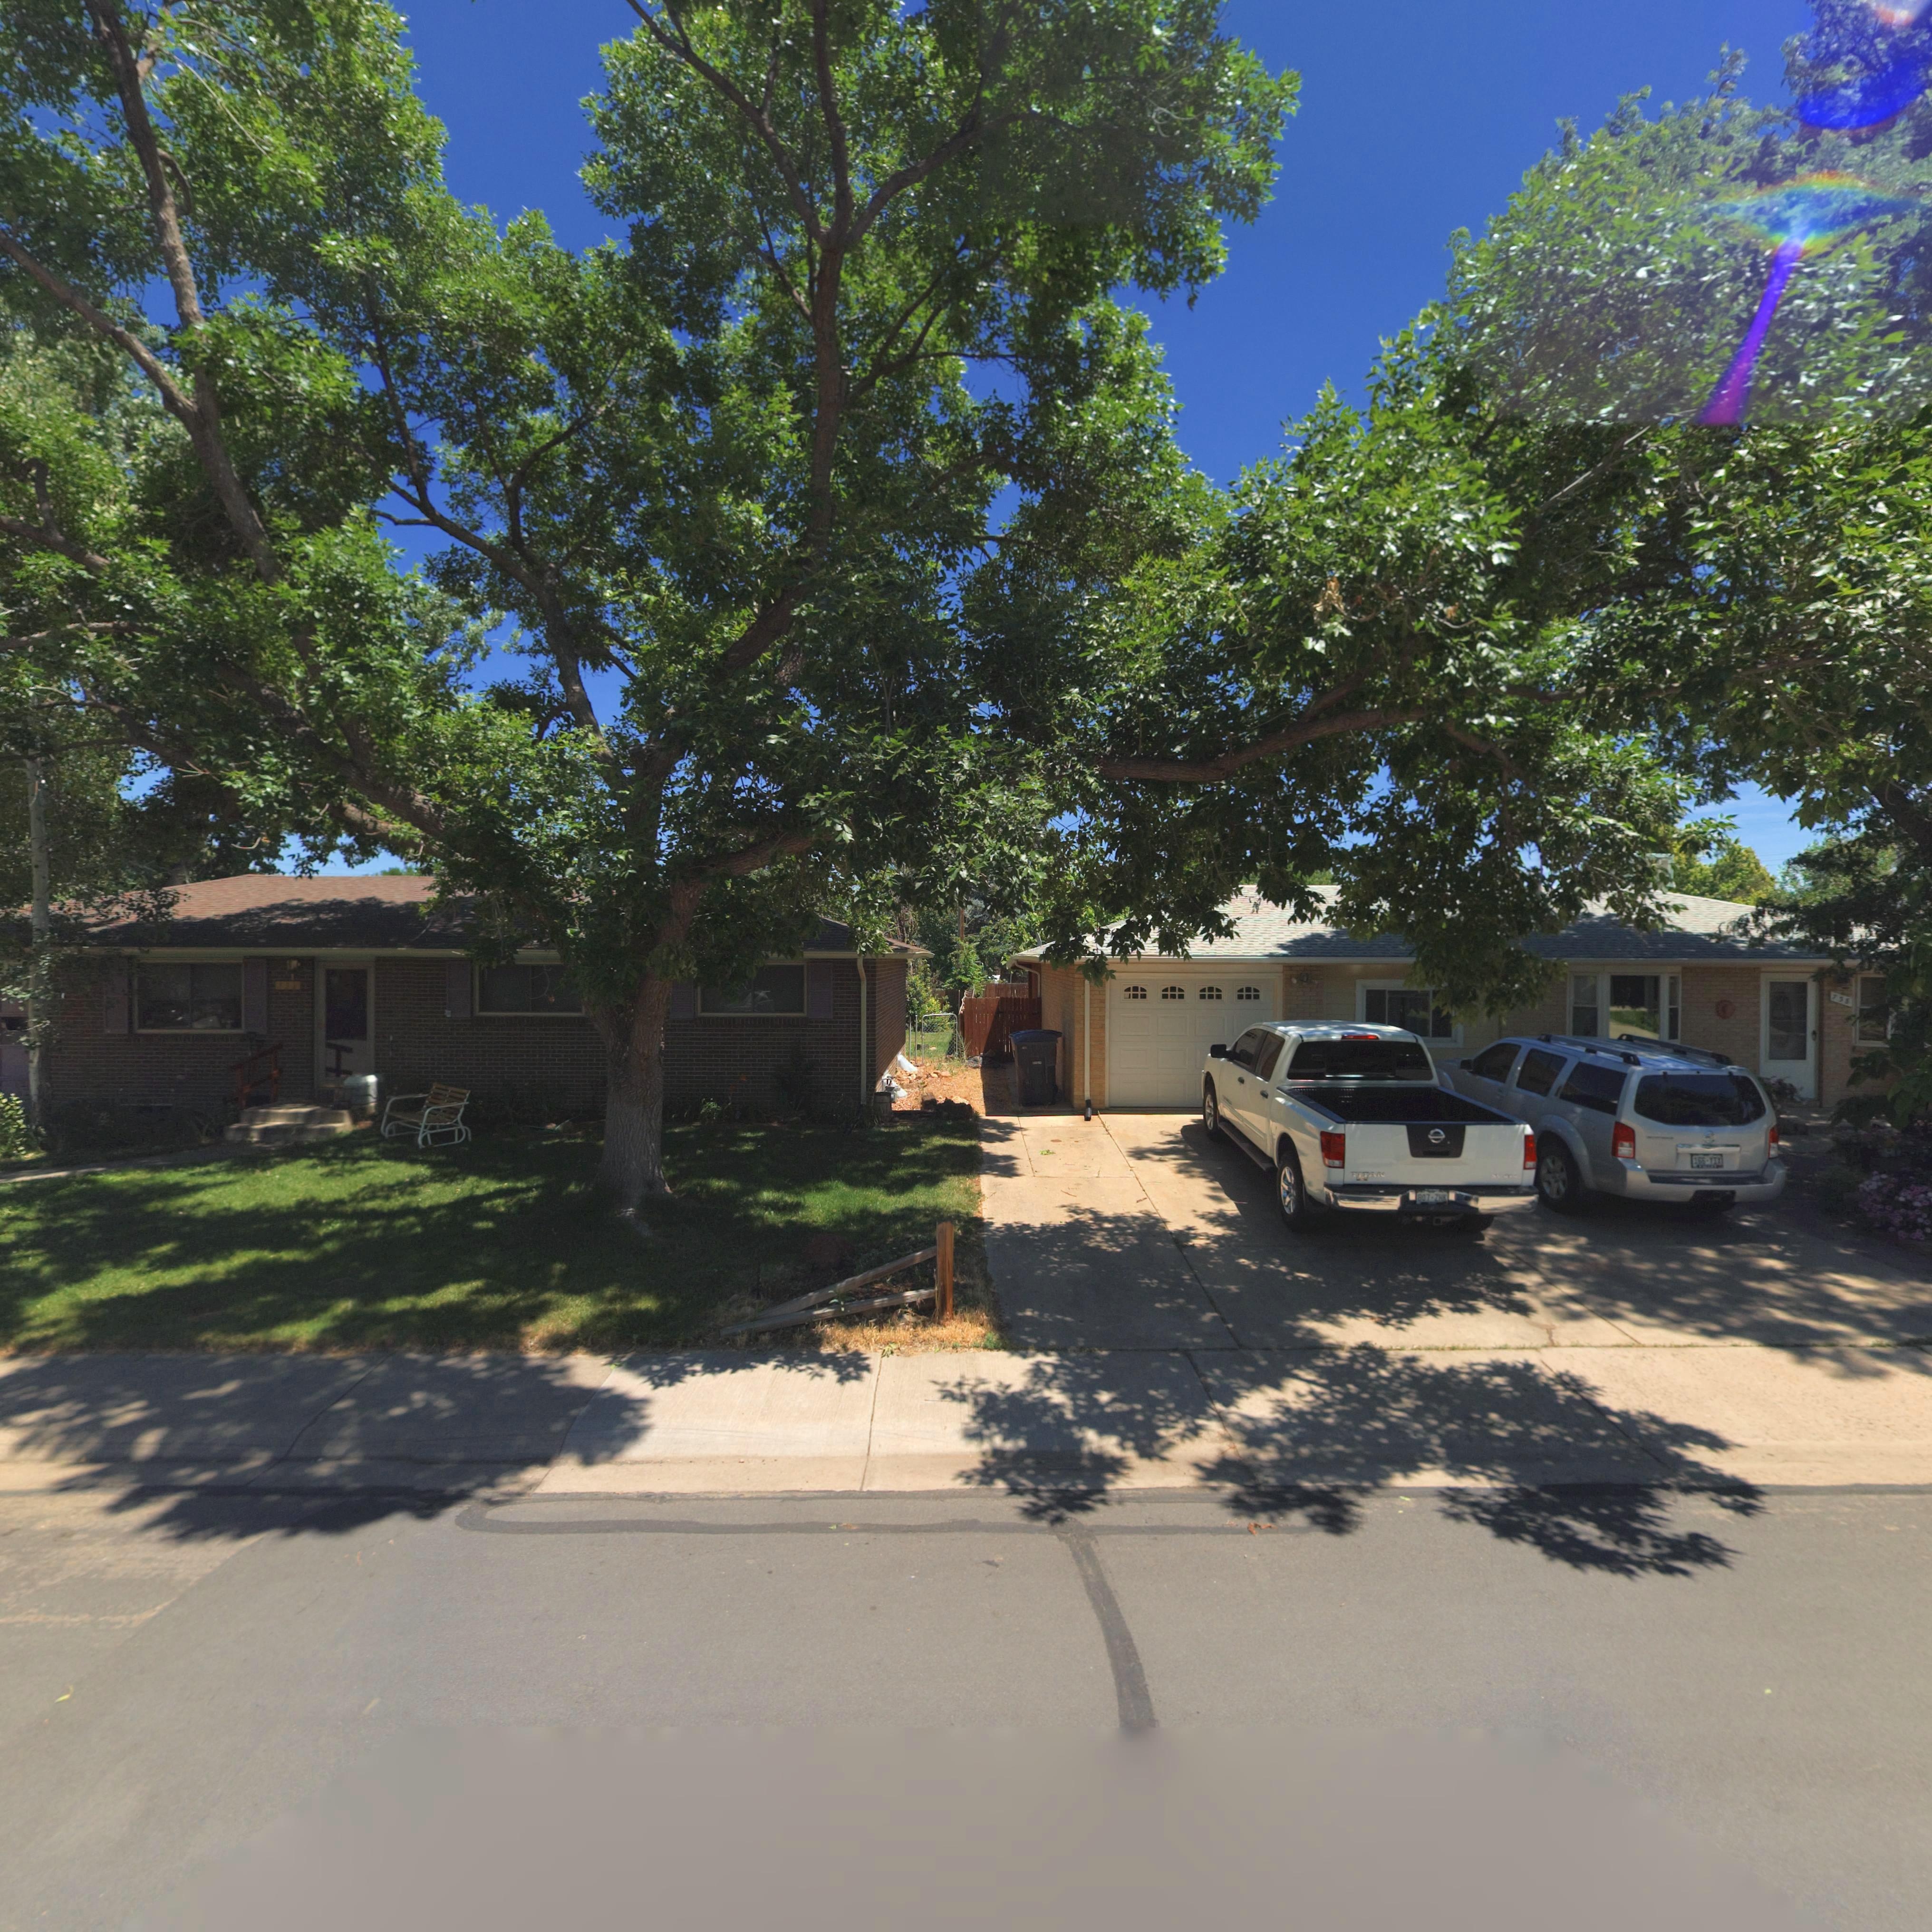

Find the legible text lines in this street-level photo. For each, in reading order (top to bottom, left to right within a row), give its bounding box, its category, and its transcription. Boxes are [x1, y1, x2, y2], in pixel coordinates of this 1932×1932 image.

[276, 981, 298, 989] StreetNumber: *9*
[1831, 993, 1851, 1005] StreetNumber: 7*5